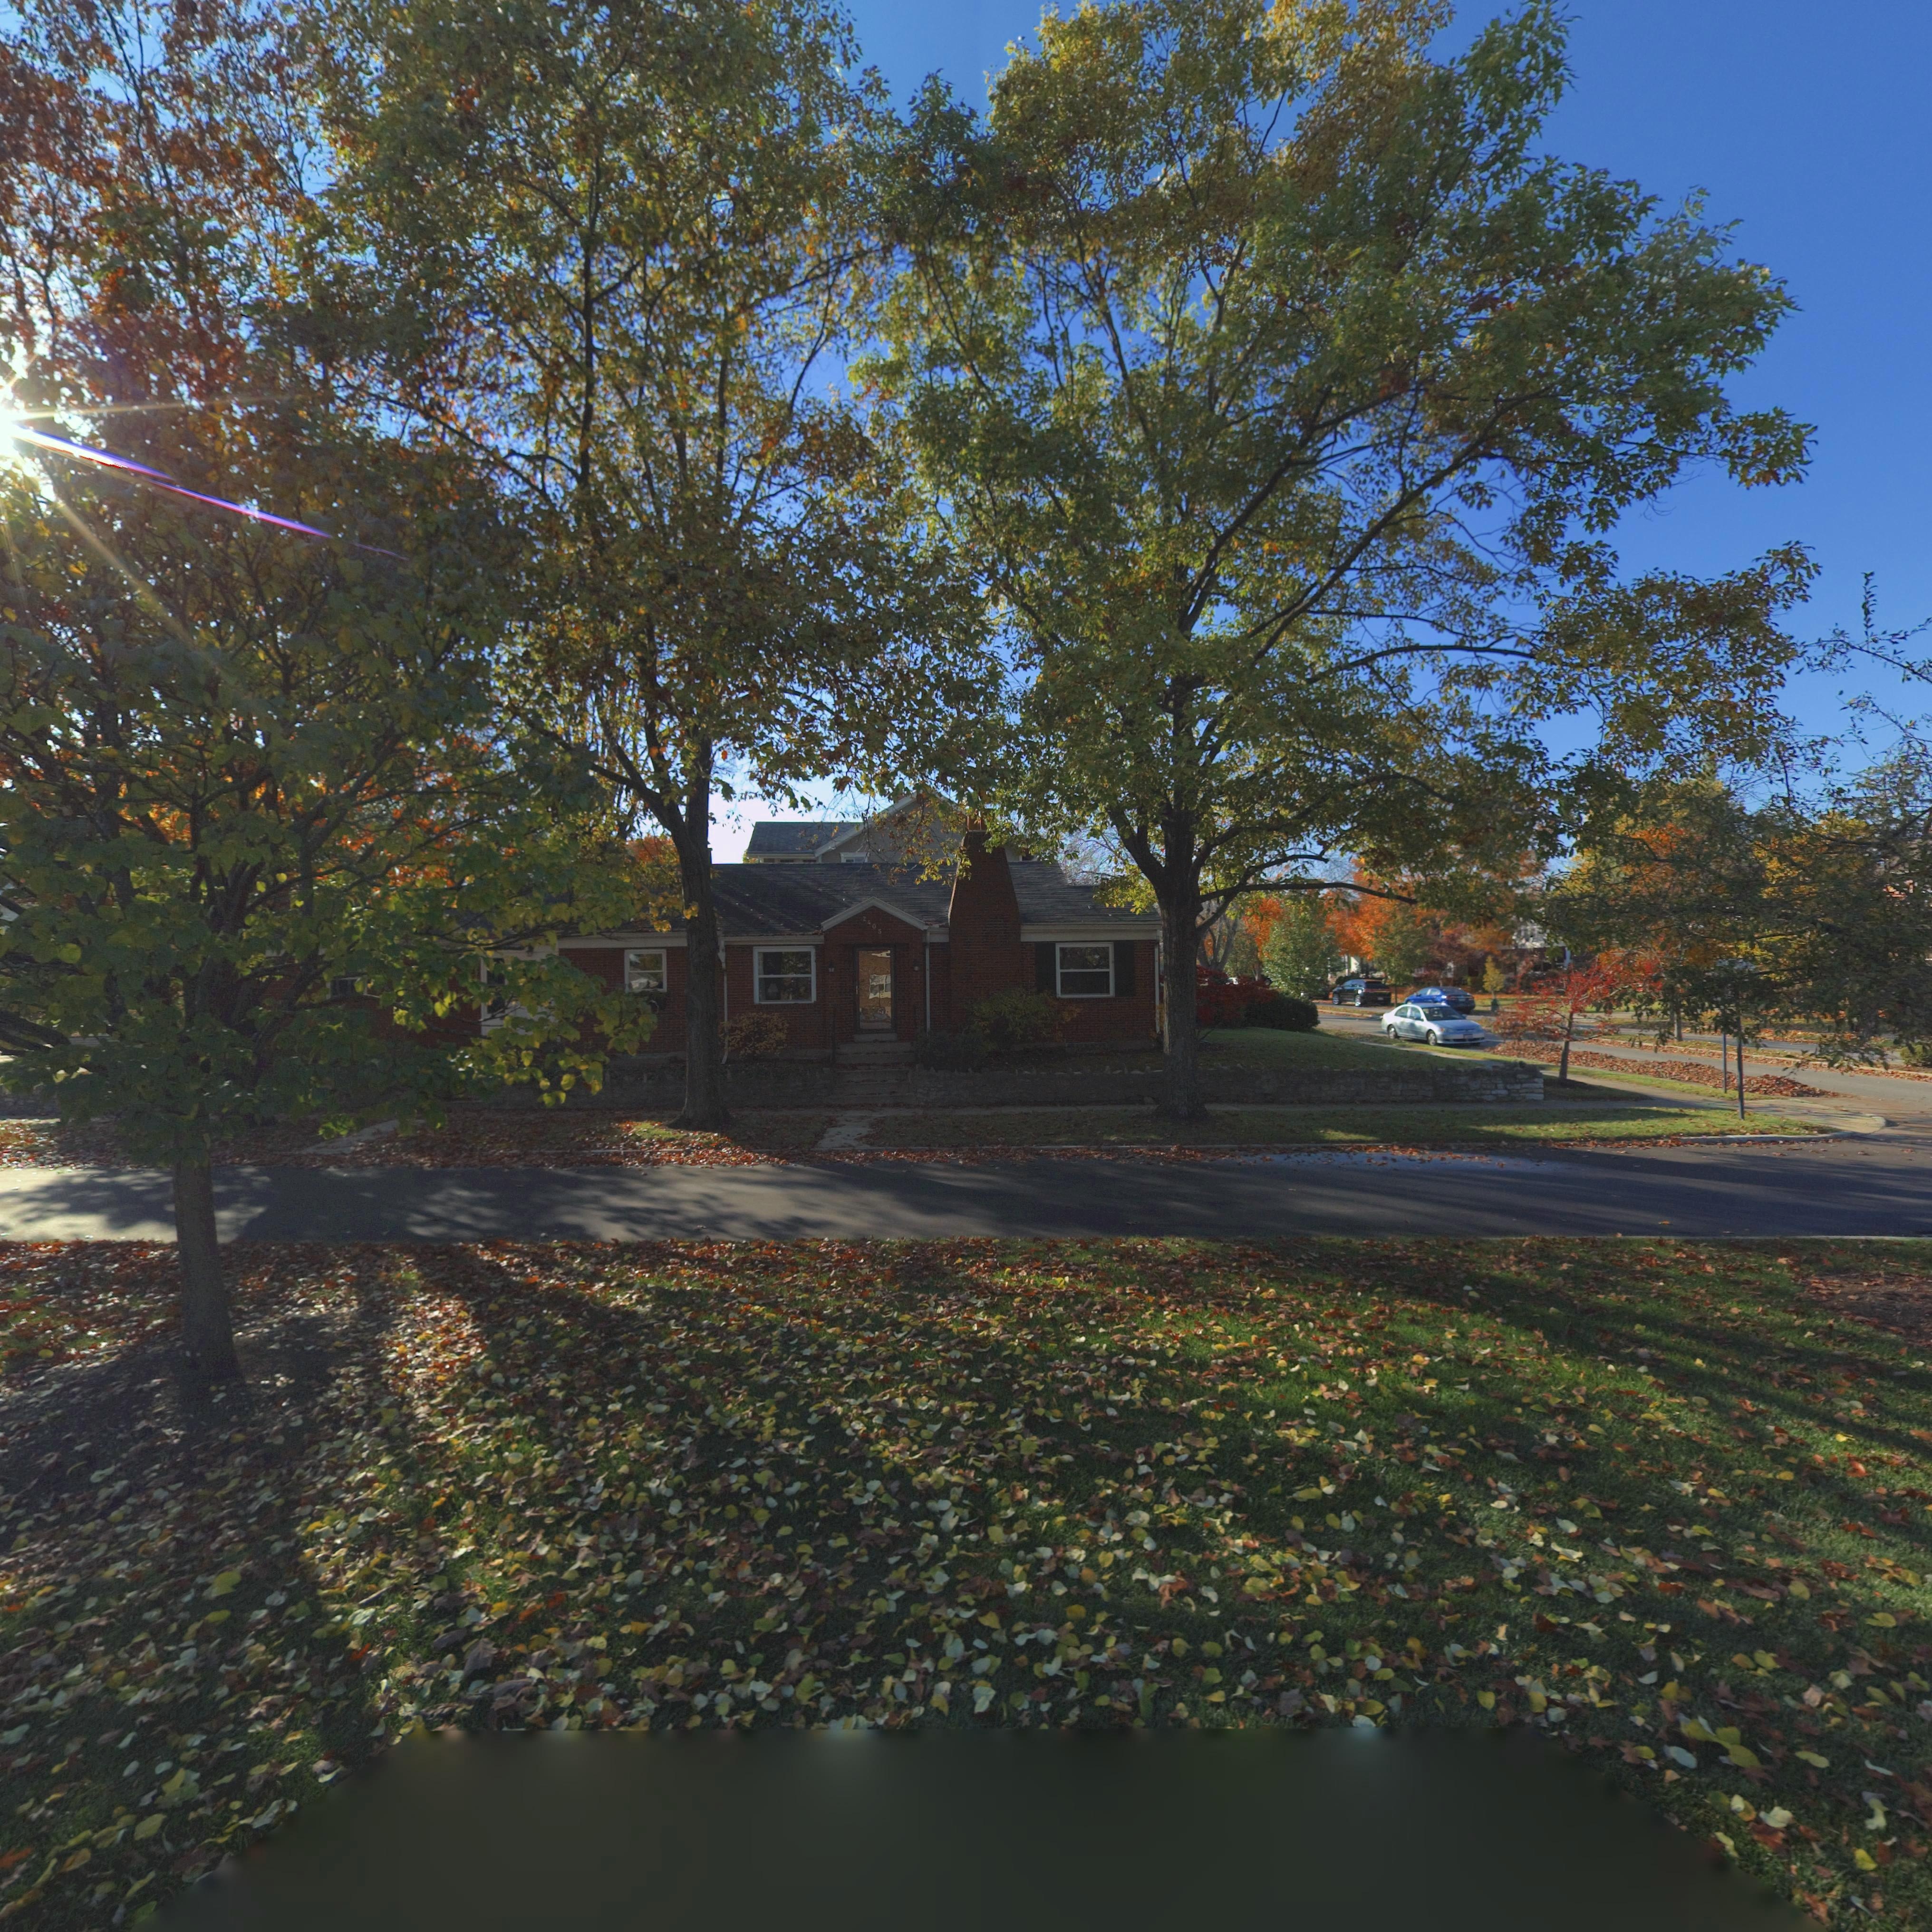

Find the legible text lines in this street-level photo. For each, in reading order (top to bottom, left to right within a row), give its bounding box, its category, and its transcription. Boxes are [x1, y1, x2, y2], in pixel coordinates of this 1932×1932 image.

[861, 915, 883, 935] StreetNumber: 2405